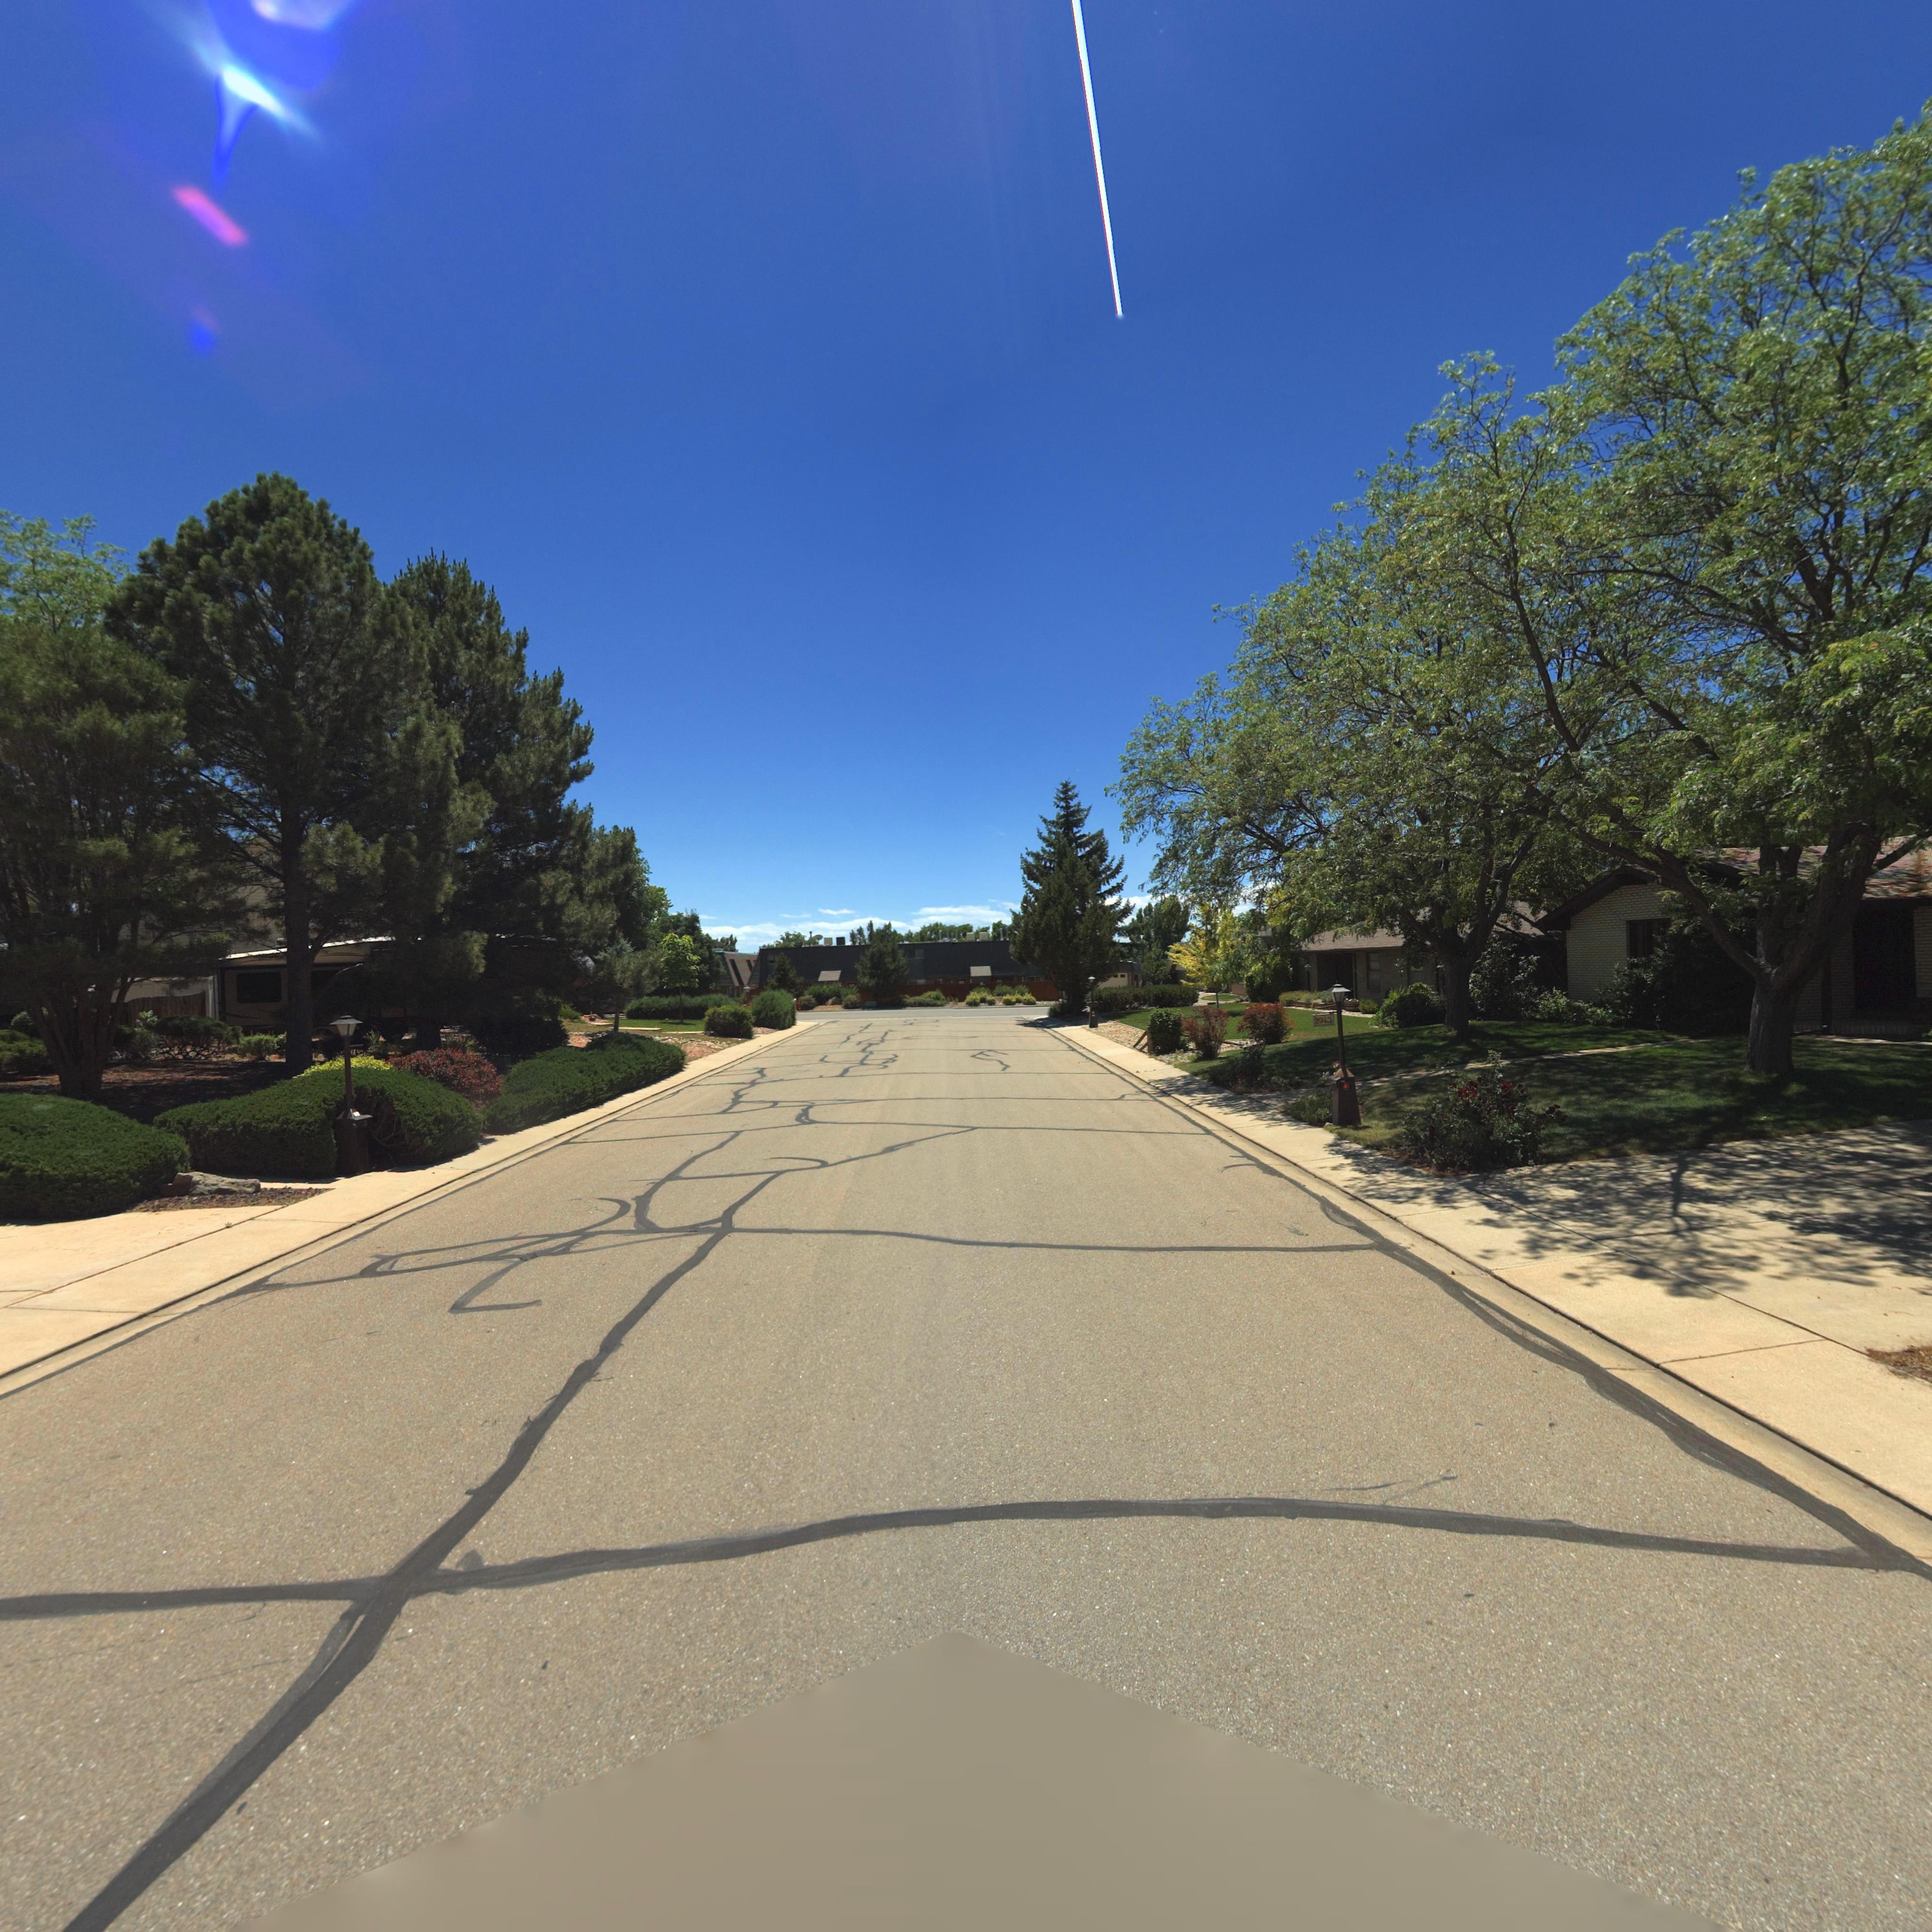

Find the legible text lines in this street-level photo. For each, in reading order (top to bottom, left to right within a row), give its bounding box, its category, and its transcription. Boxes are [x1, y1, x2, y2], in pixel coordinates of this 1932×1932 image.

[1314, 1016, 1332, 1024] StreetNumber: 2313